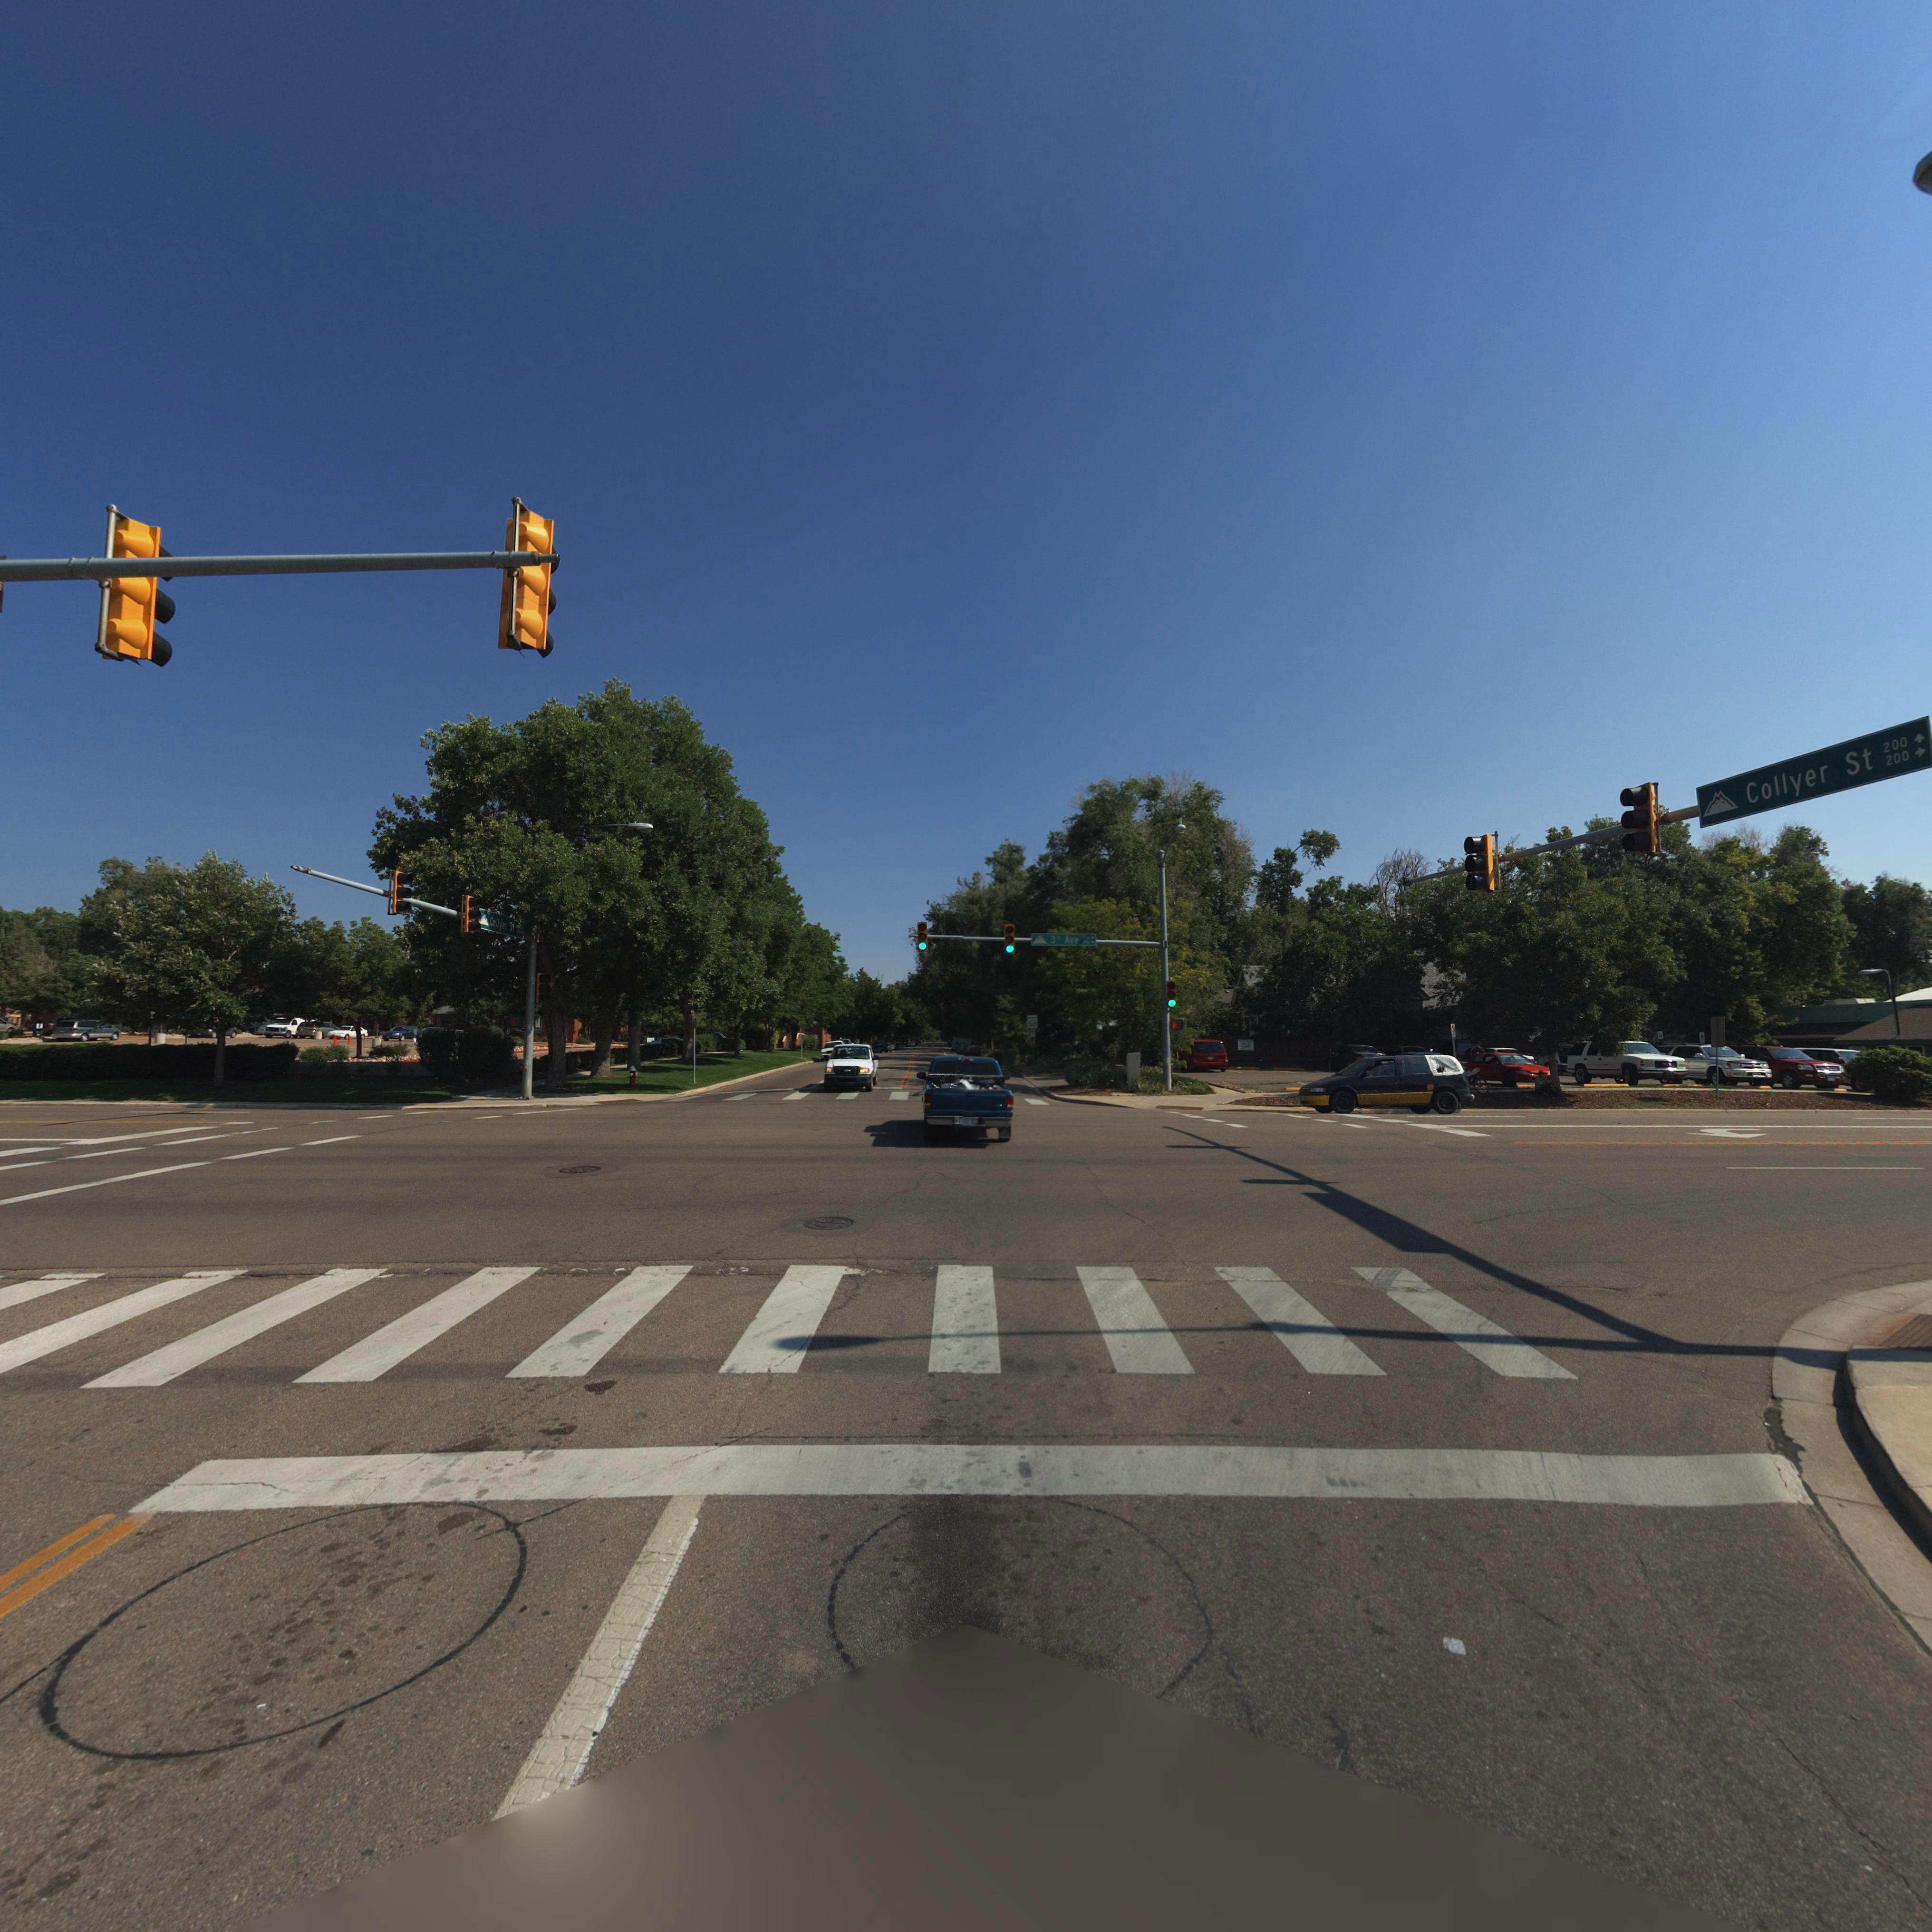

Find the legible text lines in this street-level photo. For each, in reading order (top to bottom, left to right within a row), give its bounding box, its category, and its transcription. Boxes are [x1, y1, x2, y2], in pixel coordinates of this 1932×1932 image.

[1882, 736, 1908, 753] StreetNumberRange: 200
[1884, 746, 1928, 767] StreetNumberRange: 200->
[1744, 746, 1874, 804] StreetName: Collyer St
[489, 916, 516, 932] StreetName: Collyer St
[1050, 935, 1079, 944] StreetName: 3rd Ave